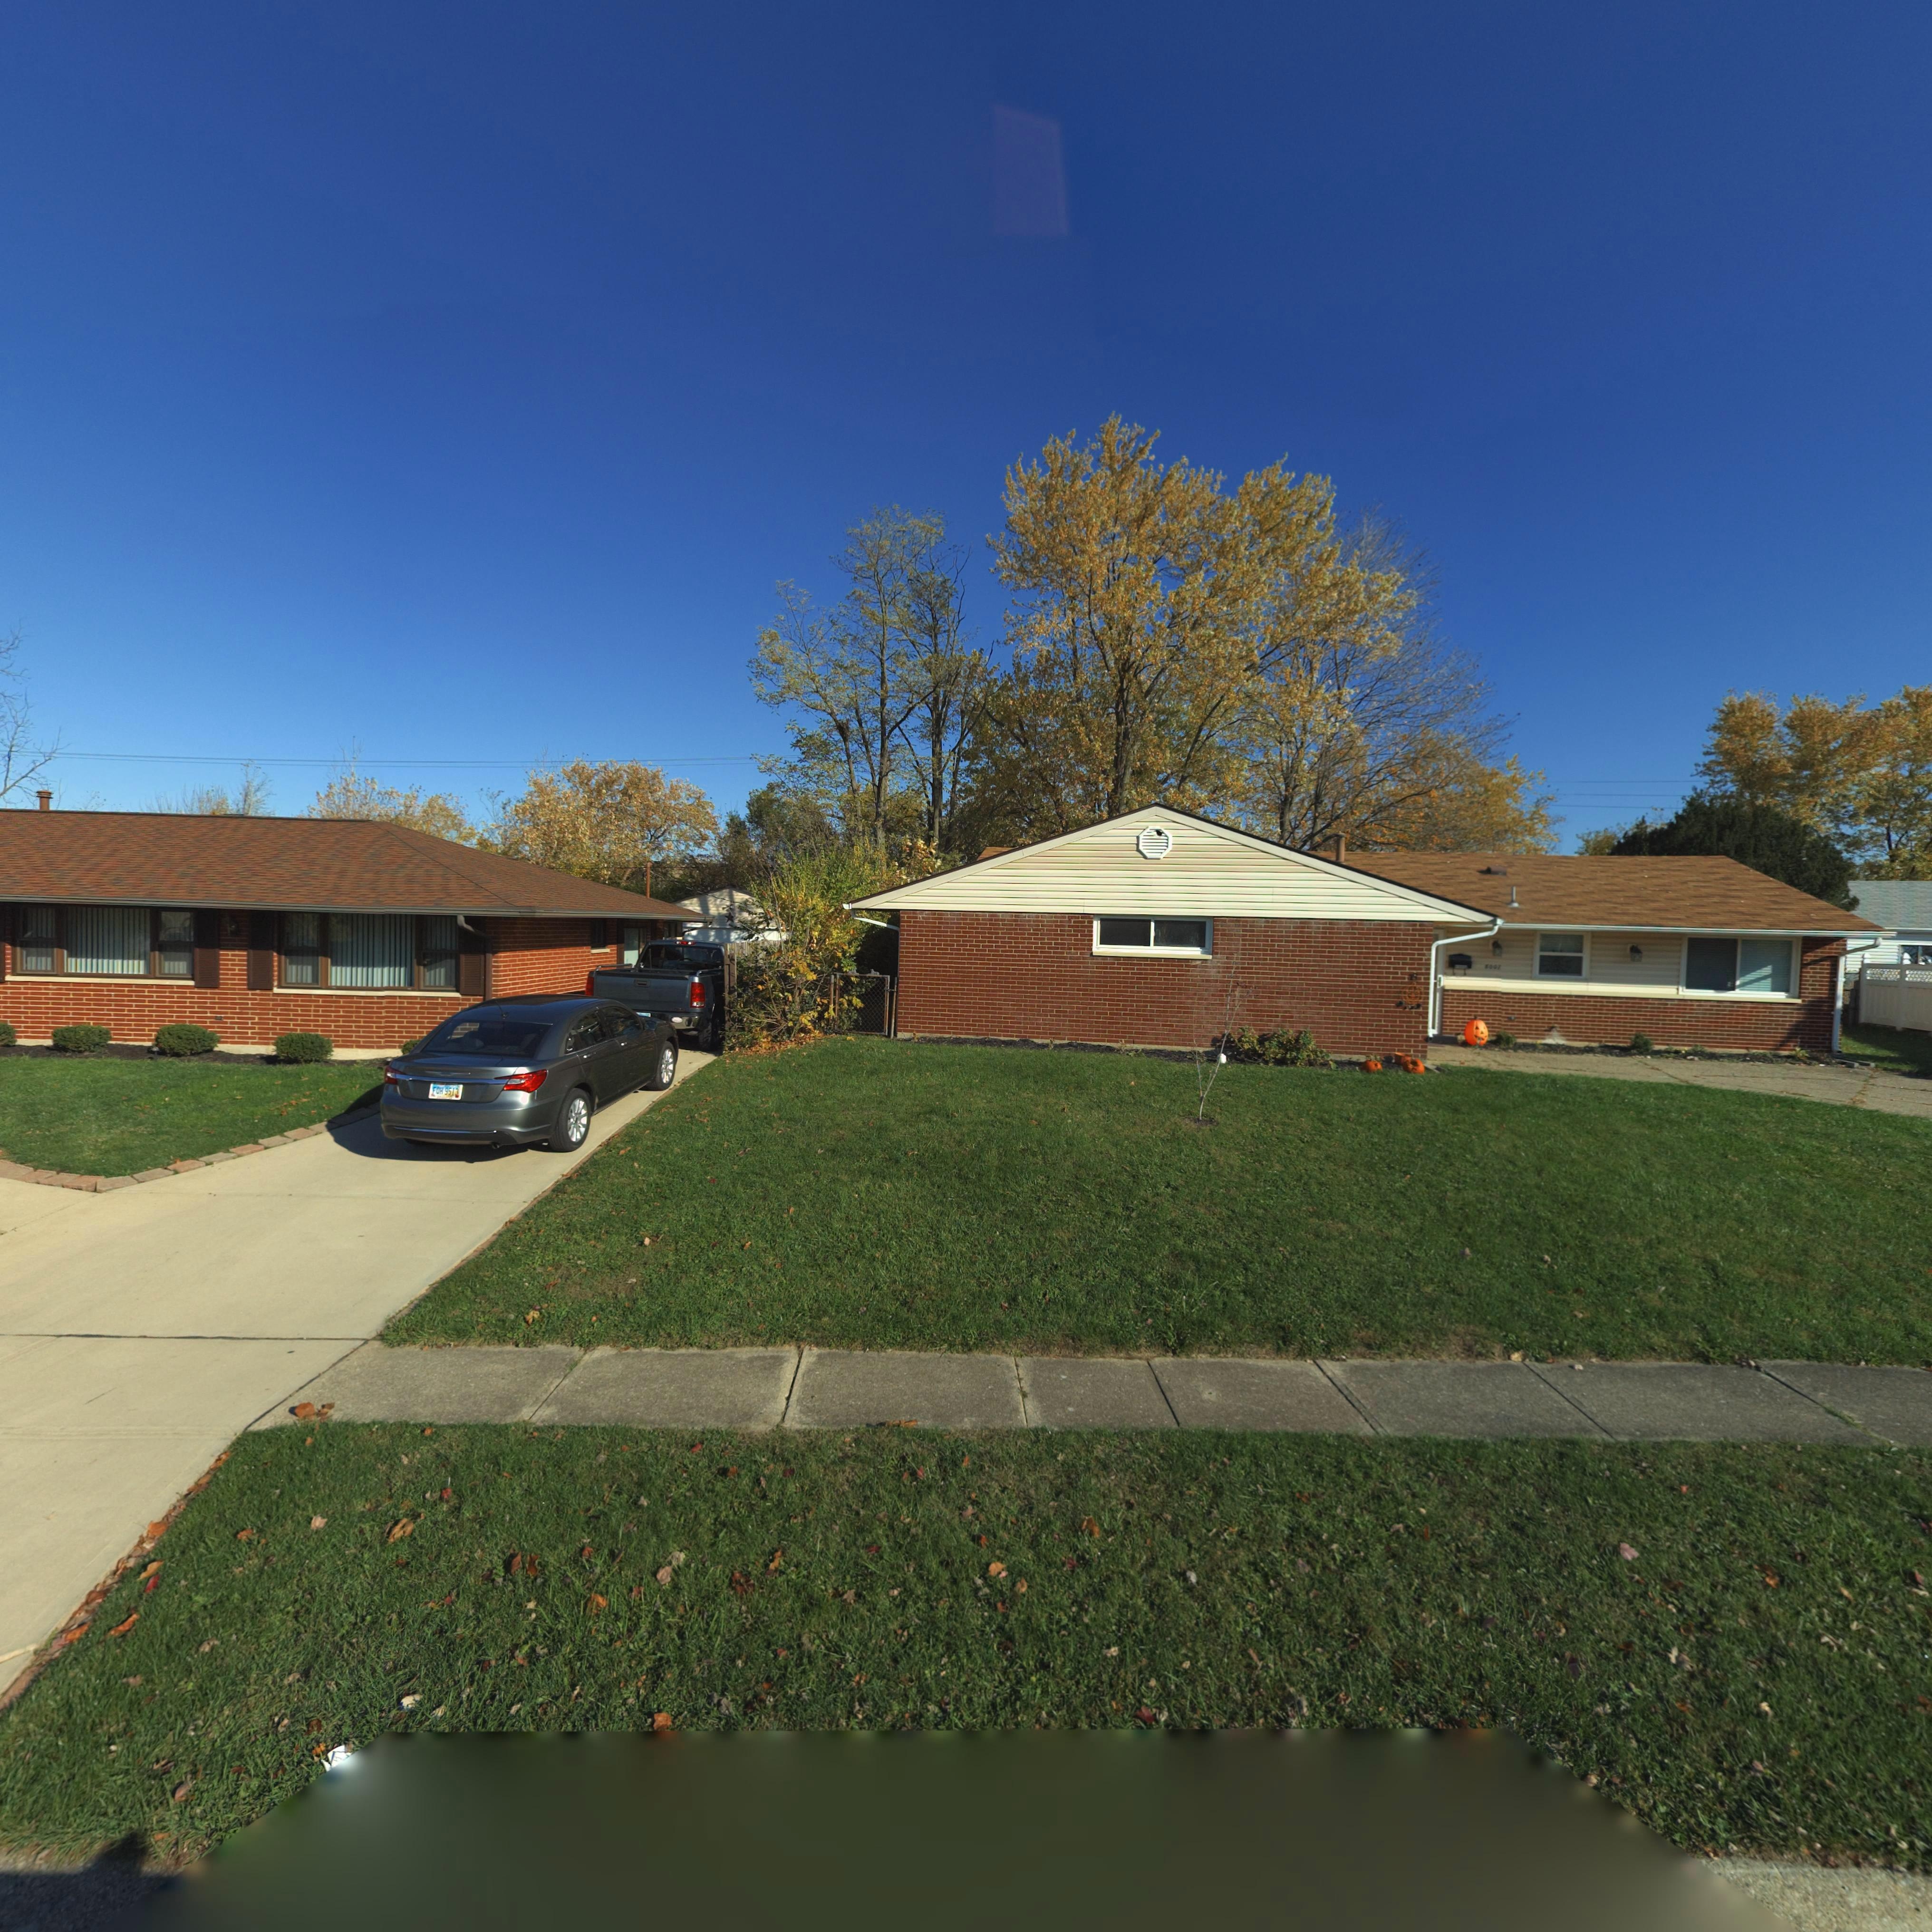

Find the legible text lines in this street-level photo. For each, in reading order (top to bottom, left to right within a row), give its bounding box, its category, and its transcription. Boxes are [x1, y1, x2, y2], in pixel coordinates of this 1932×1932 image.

[1483, 963, 1503, 971] StreetNumber: *007